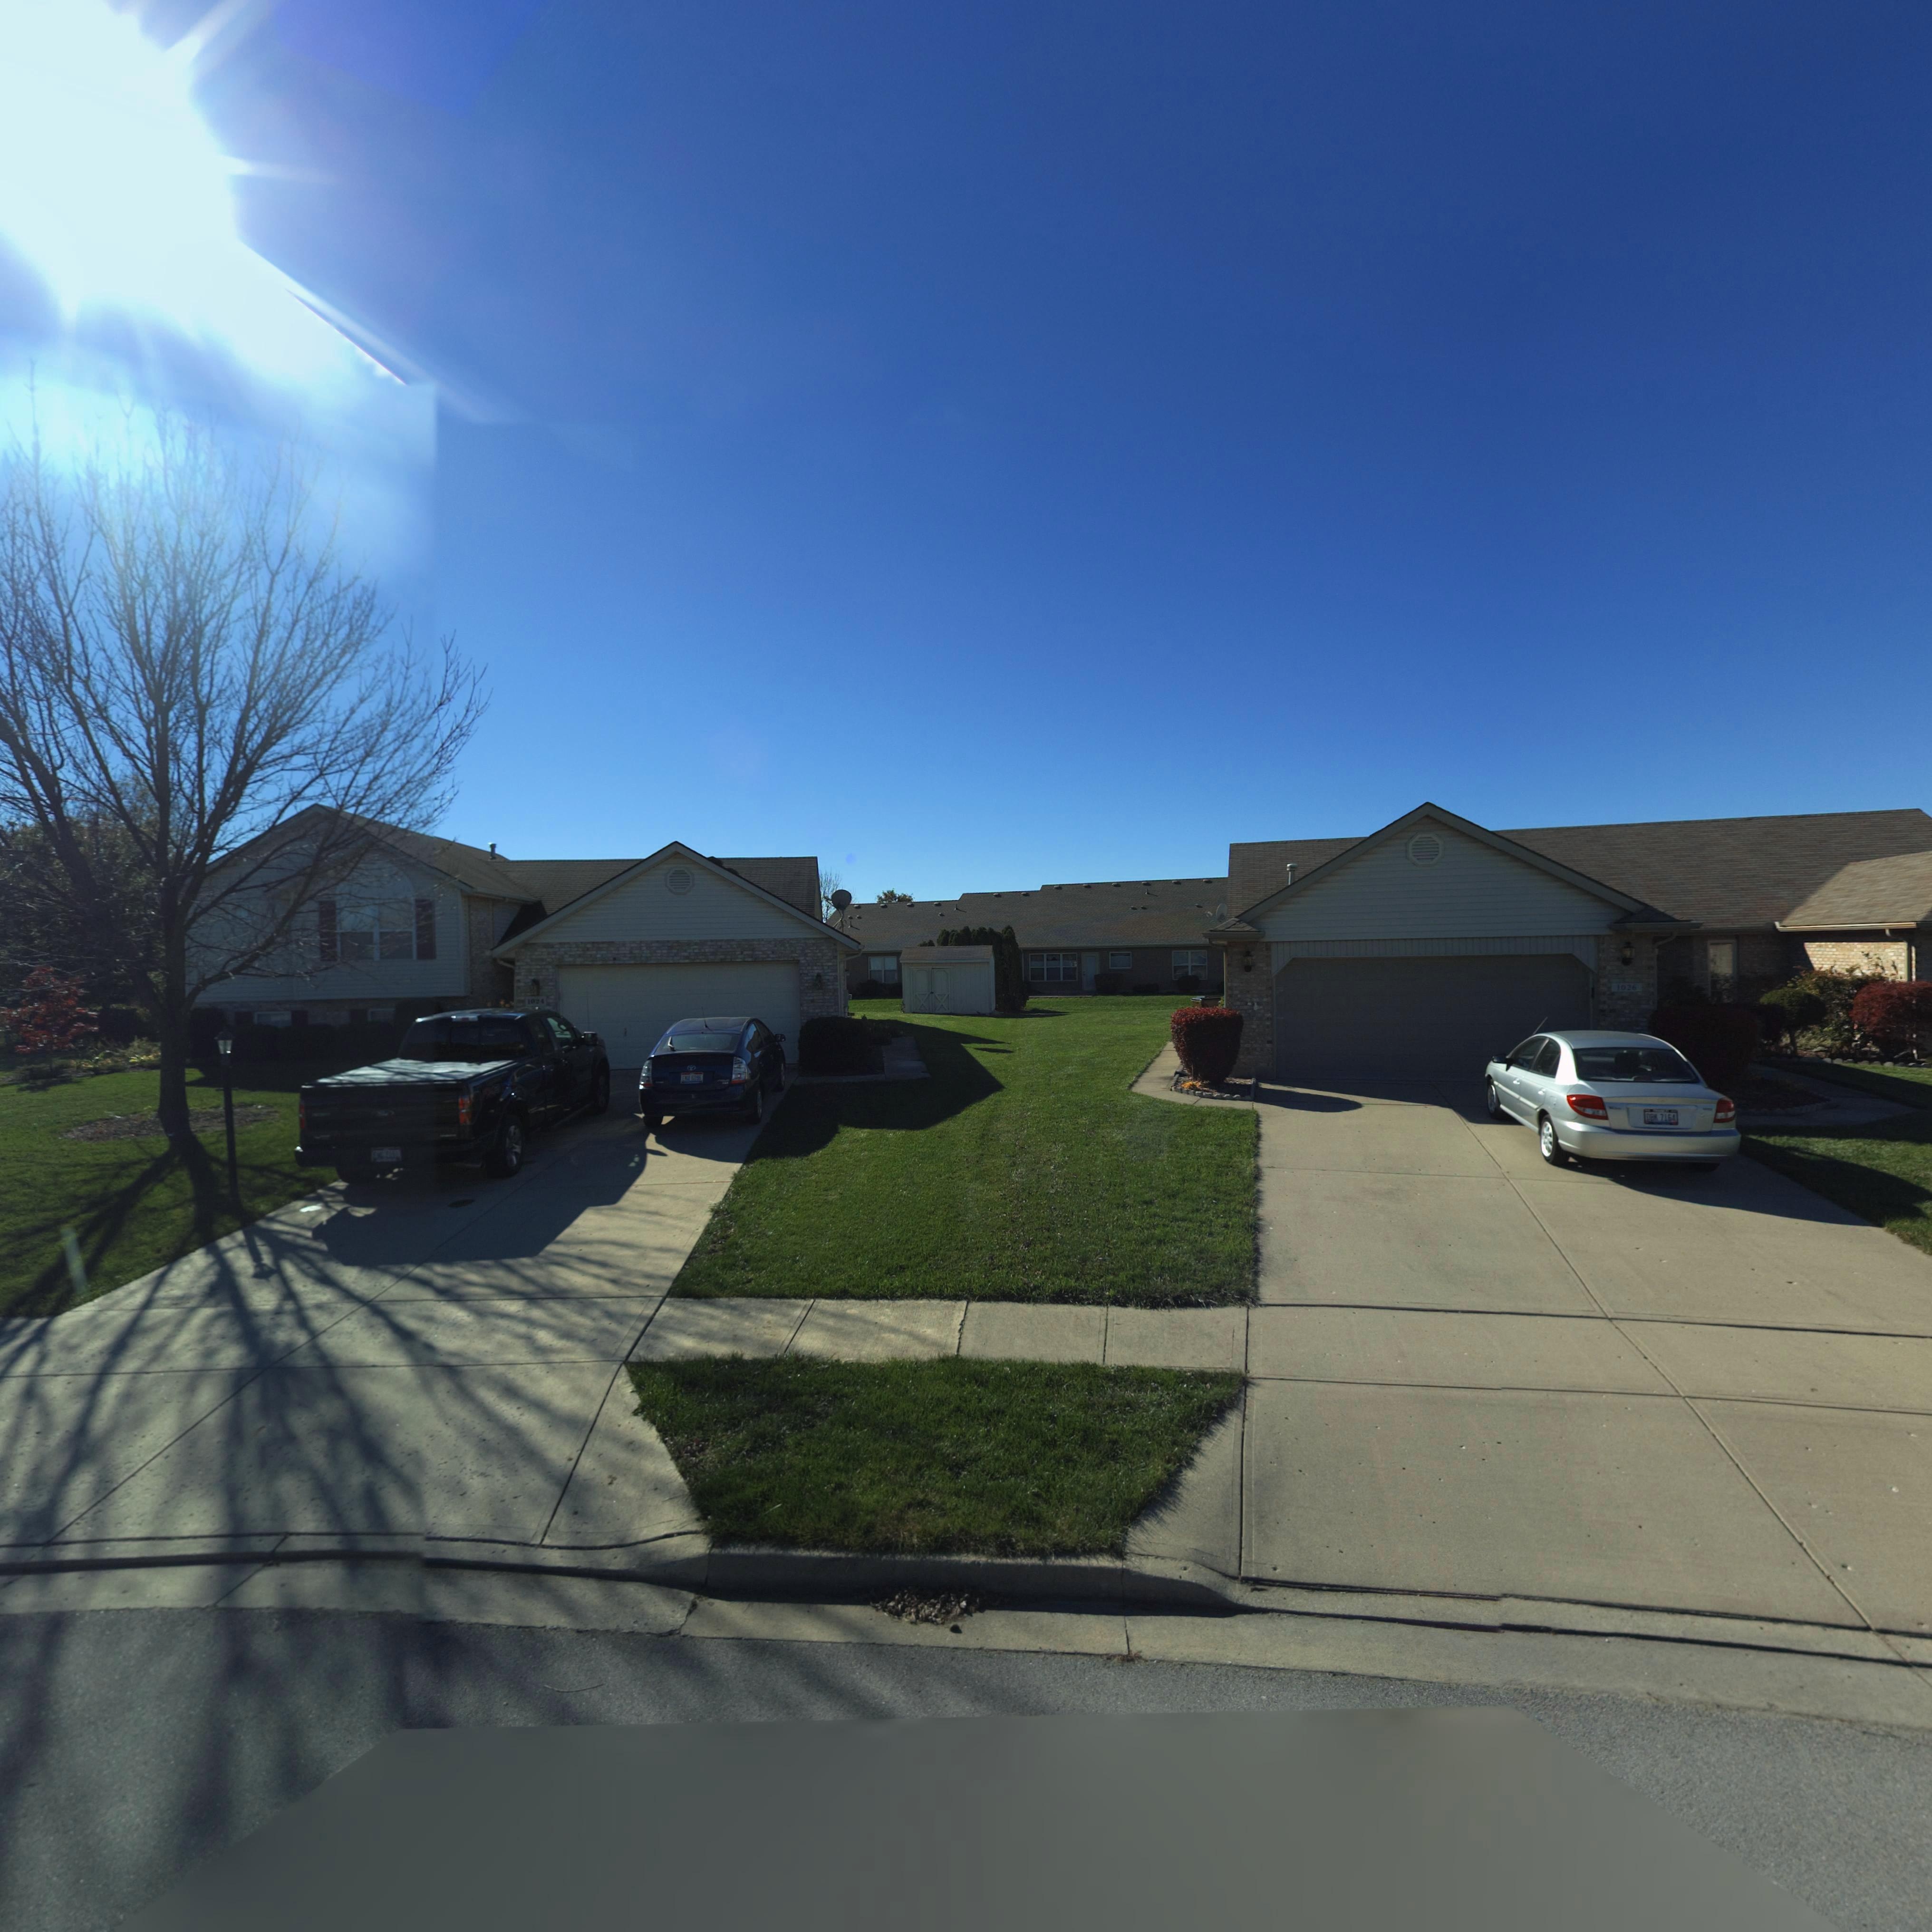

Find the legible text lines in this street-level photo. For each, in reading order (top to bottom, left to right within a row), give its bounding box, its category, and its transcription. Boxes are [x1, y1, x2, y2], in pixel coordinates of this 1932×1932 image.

[1616, 983, 1638, 992] StreetNumber: 1026
[526, 997, 545, 1005] StreetNumber: 1024